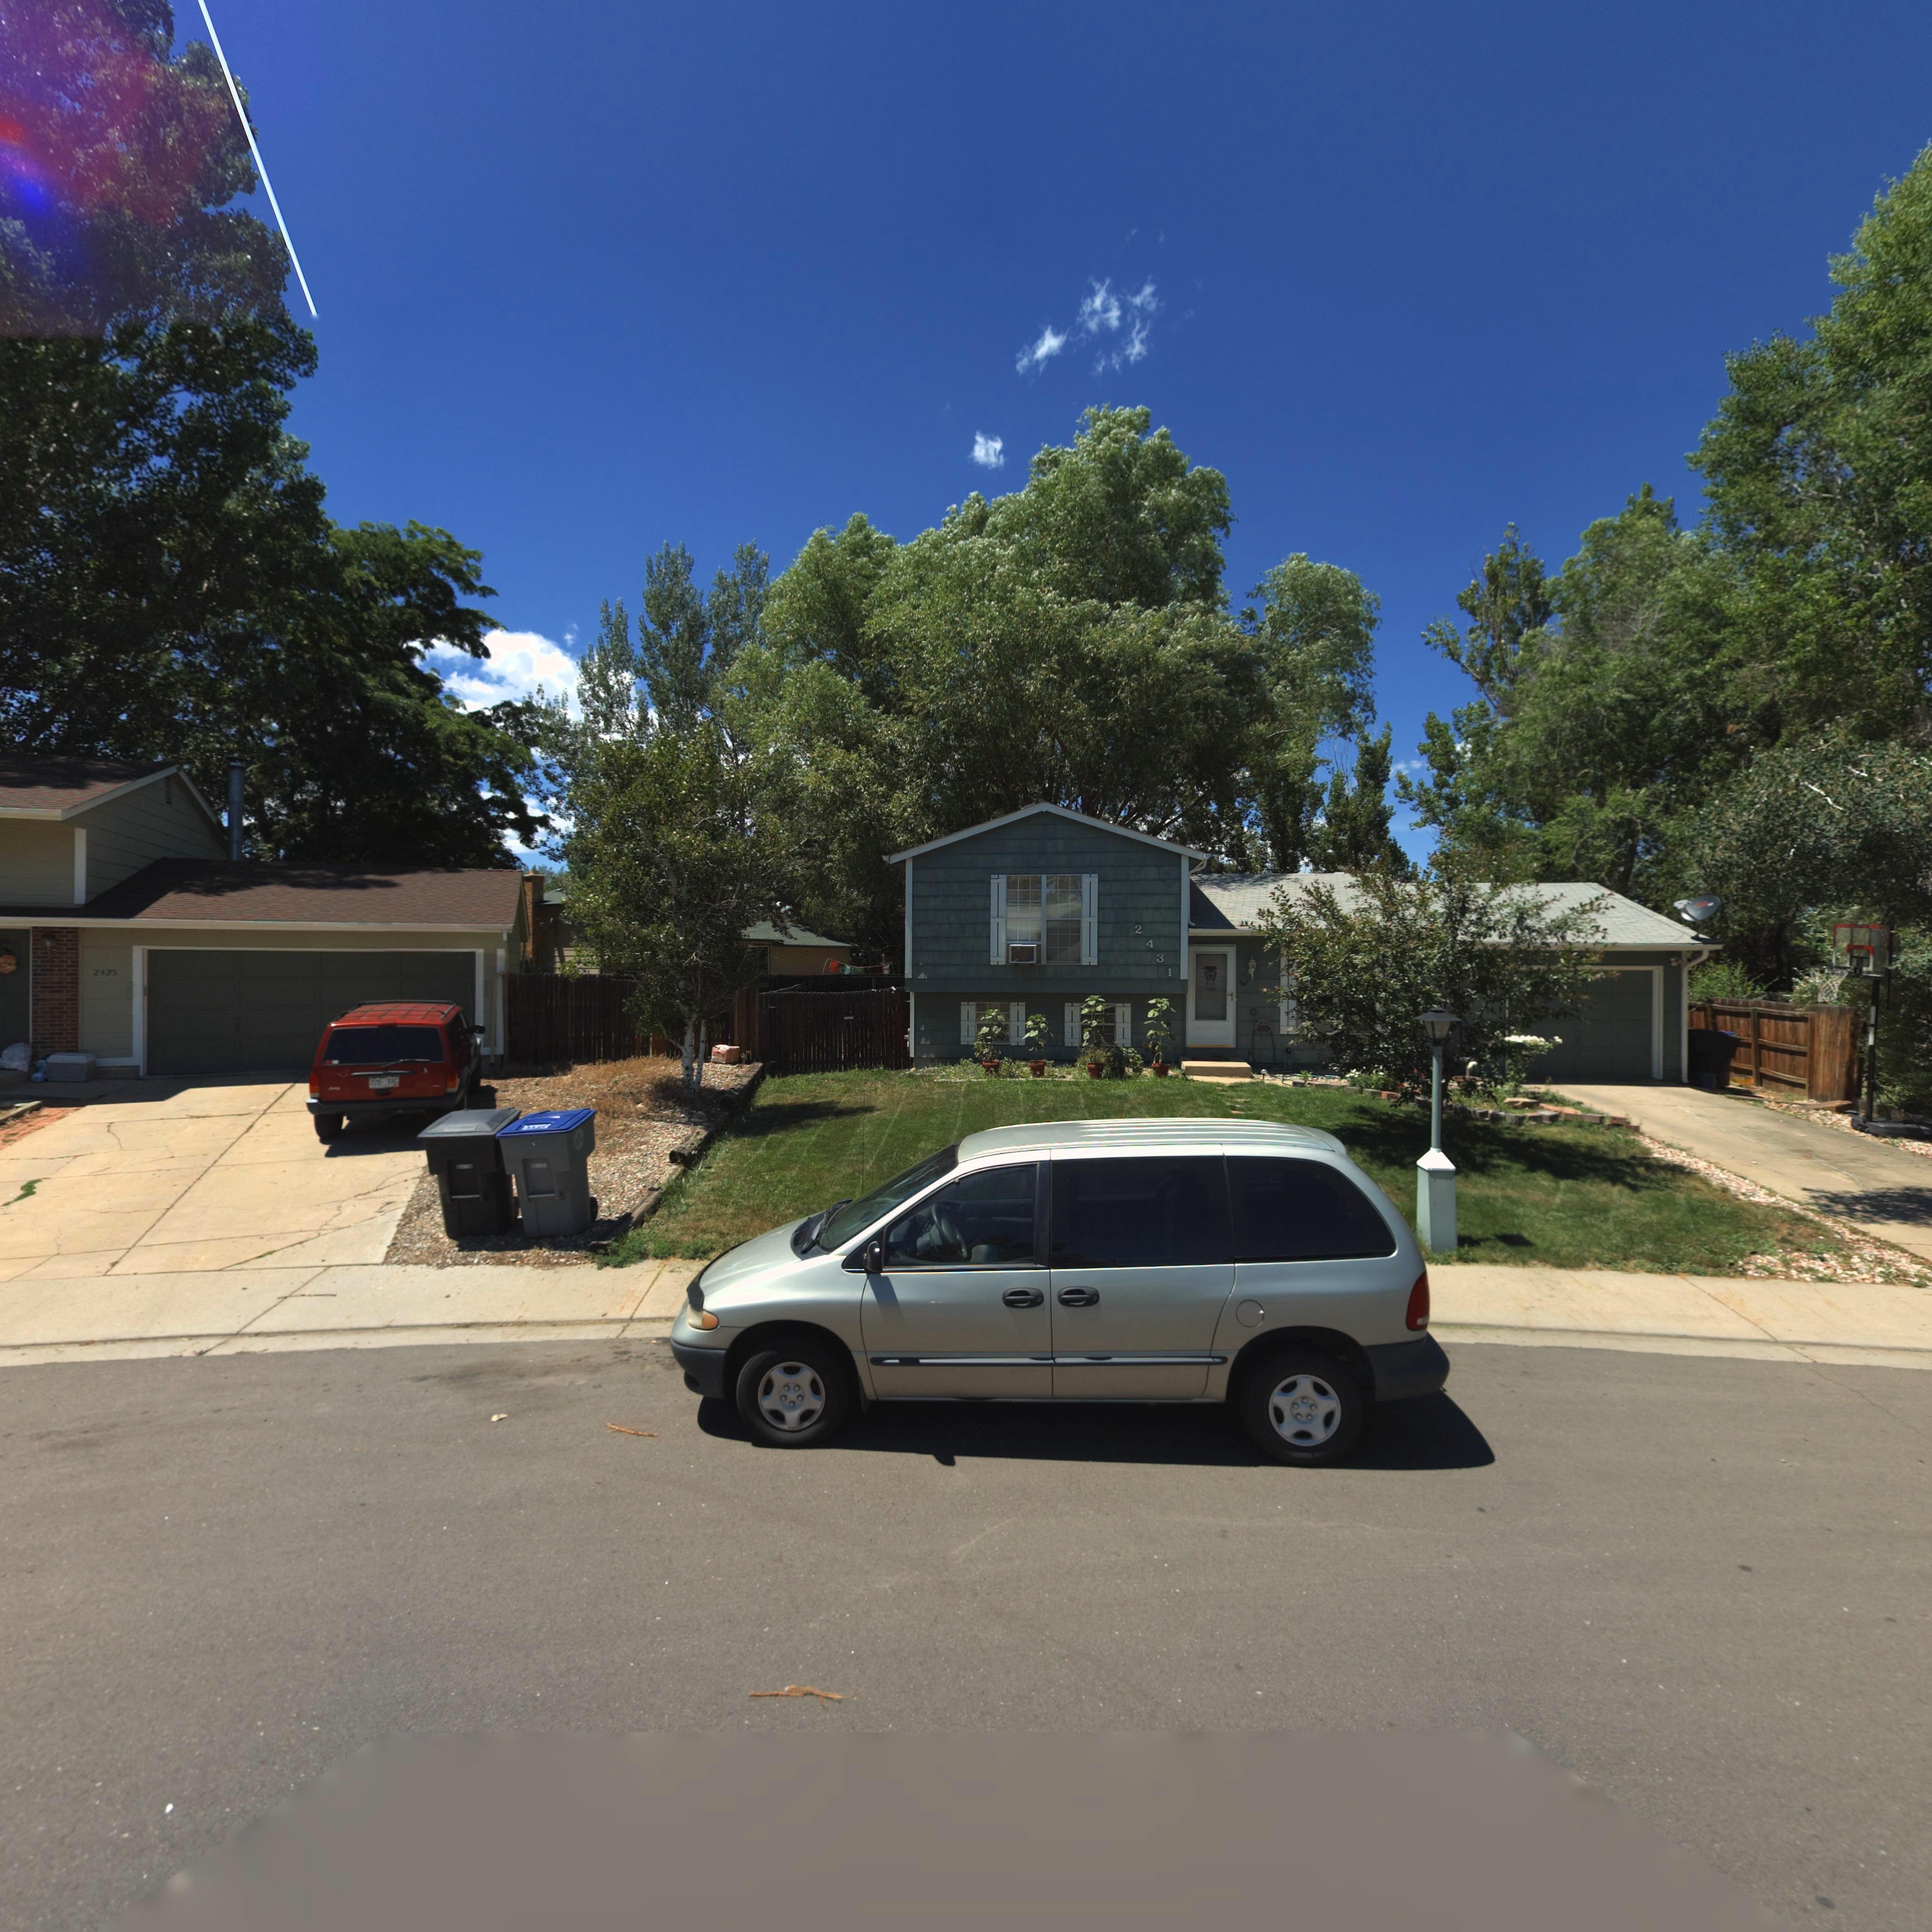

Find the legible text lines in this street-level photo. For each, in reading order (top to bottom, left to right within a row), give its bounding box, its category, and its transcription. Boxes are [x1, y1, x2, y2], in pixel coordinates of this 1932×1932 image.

[92, 969, 117, 976] StreetNumber: 2425
[1134, 924, 1173, 977] StreetNumber: 2431